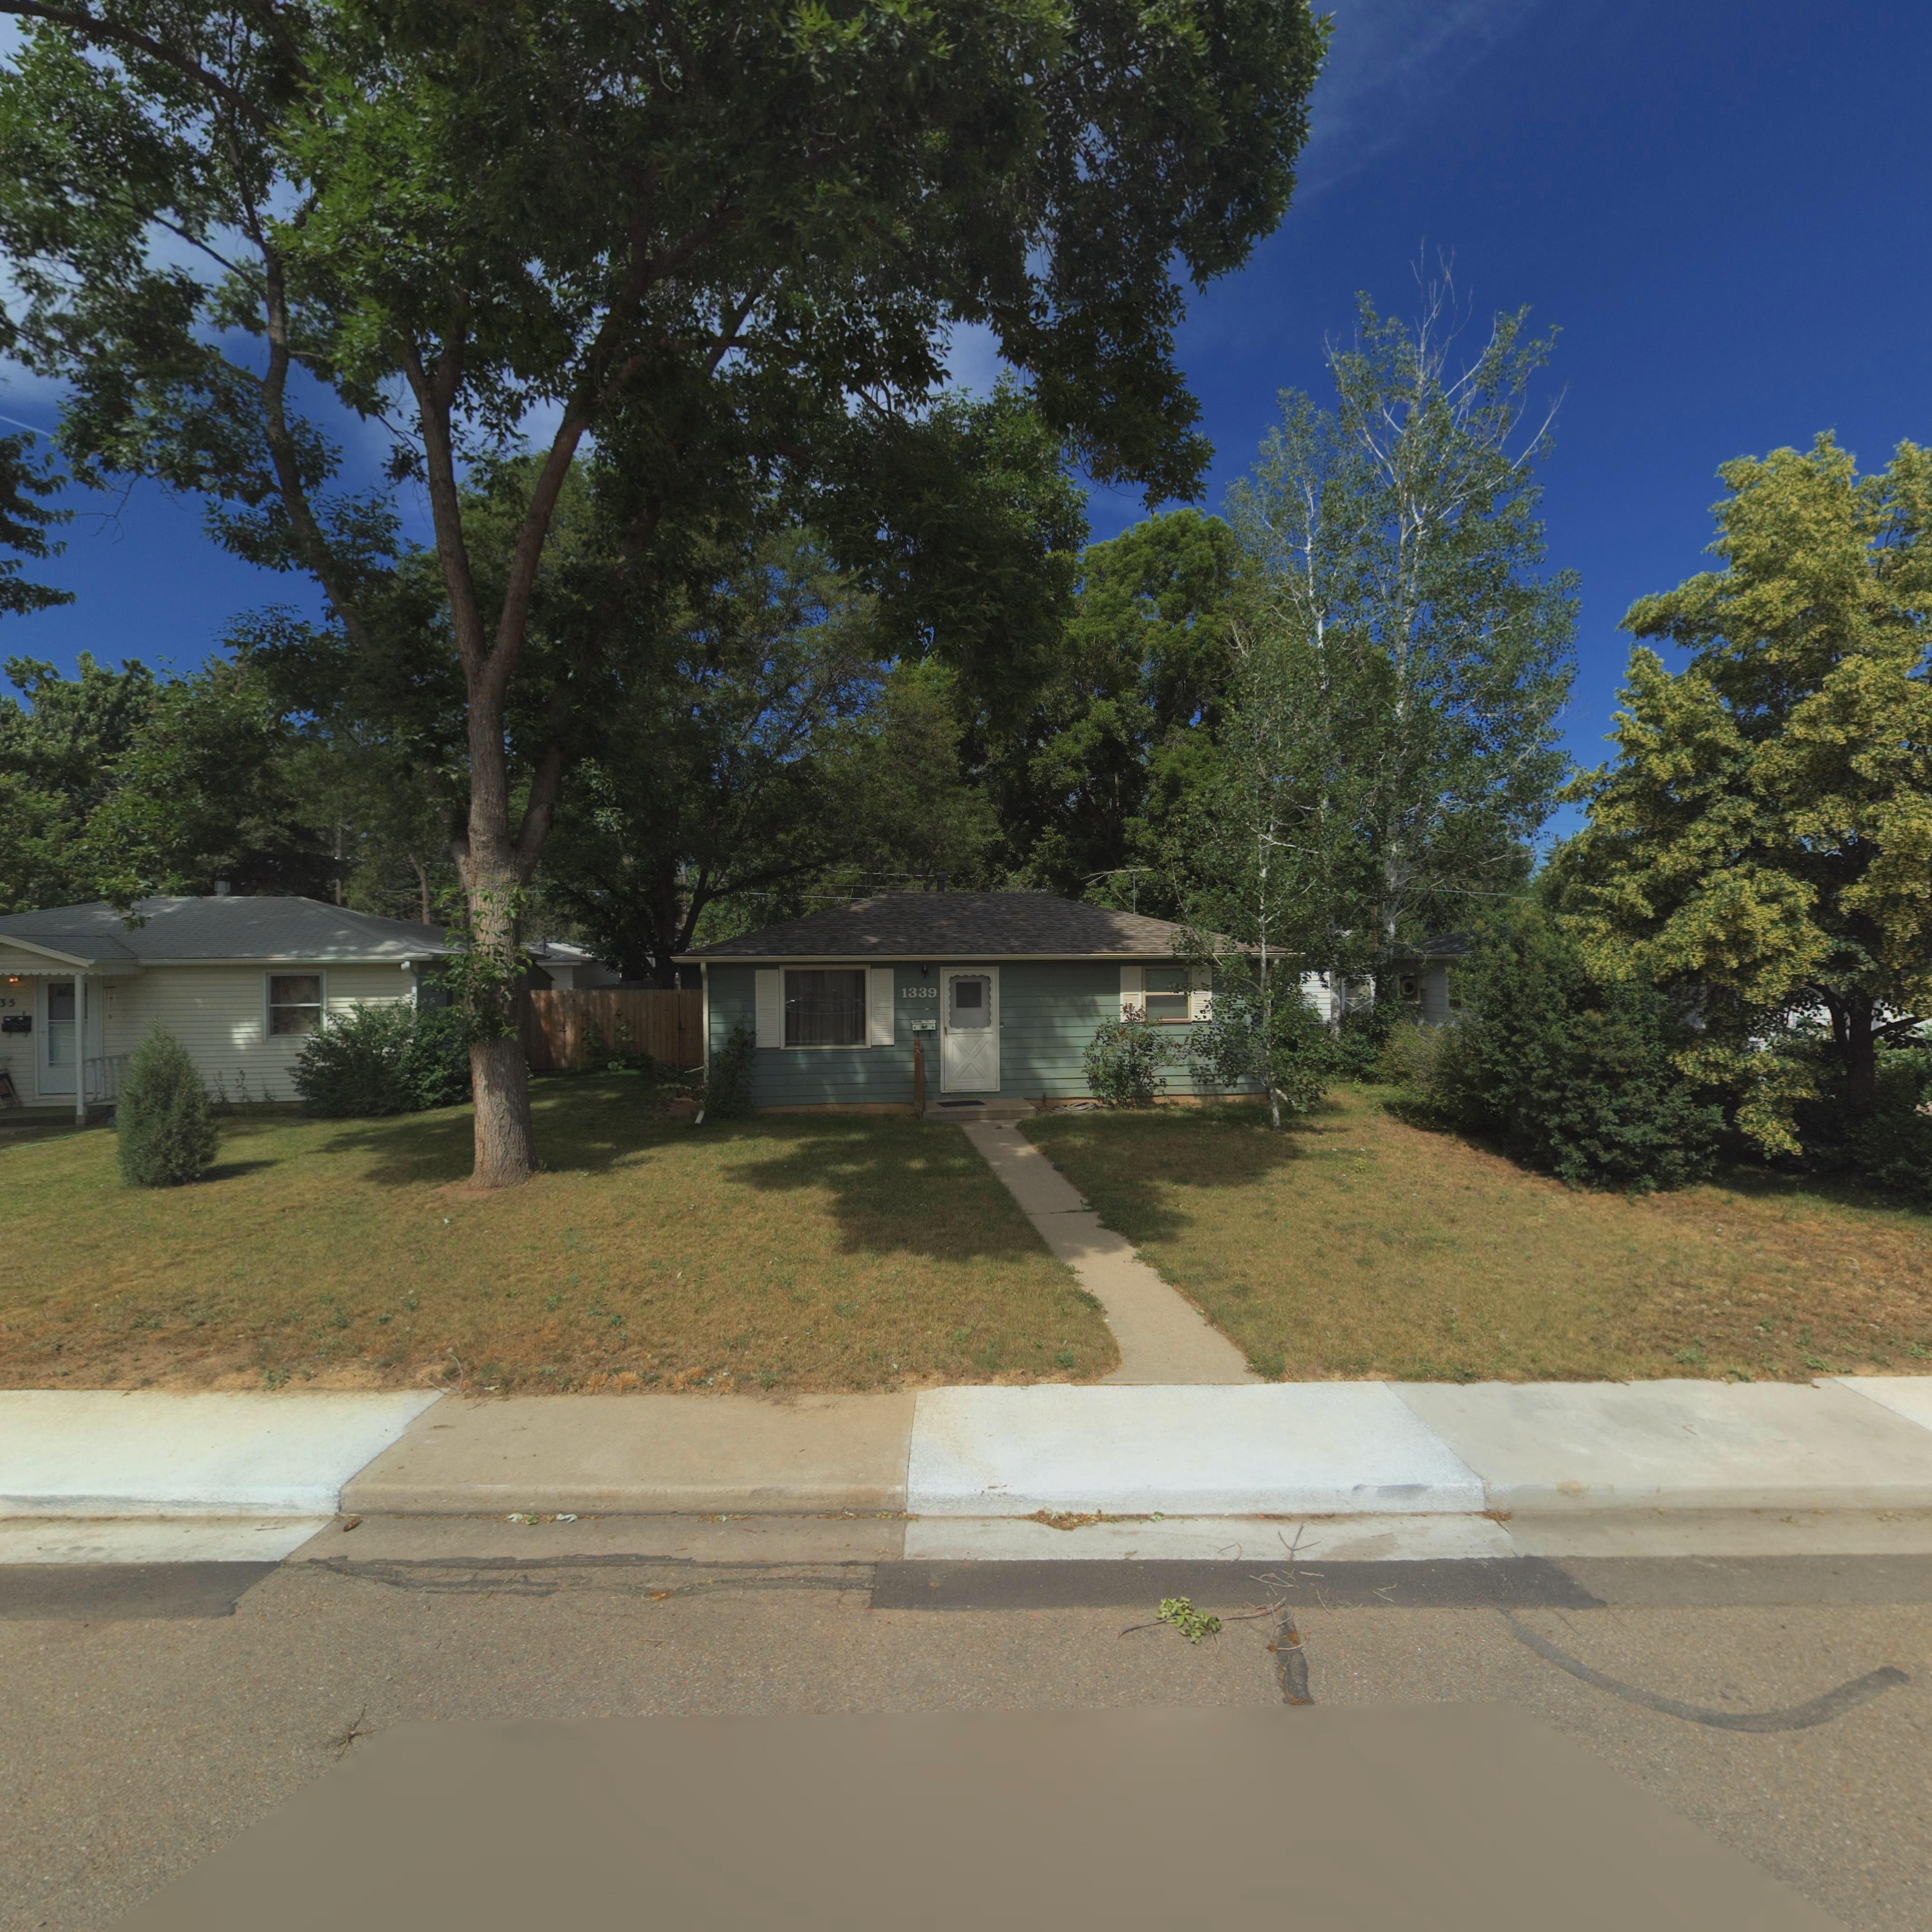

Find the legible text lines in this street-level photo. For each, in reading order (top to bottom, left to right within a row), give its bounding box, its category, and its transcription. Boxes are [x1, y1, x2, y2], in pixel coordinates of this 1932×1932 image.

[901, 987, 937, 998] StreetNumber: 1339
[0, 998, 15, 1007] StreetNumber: 35